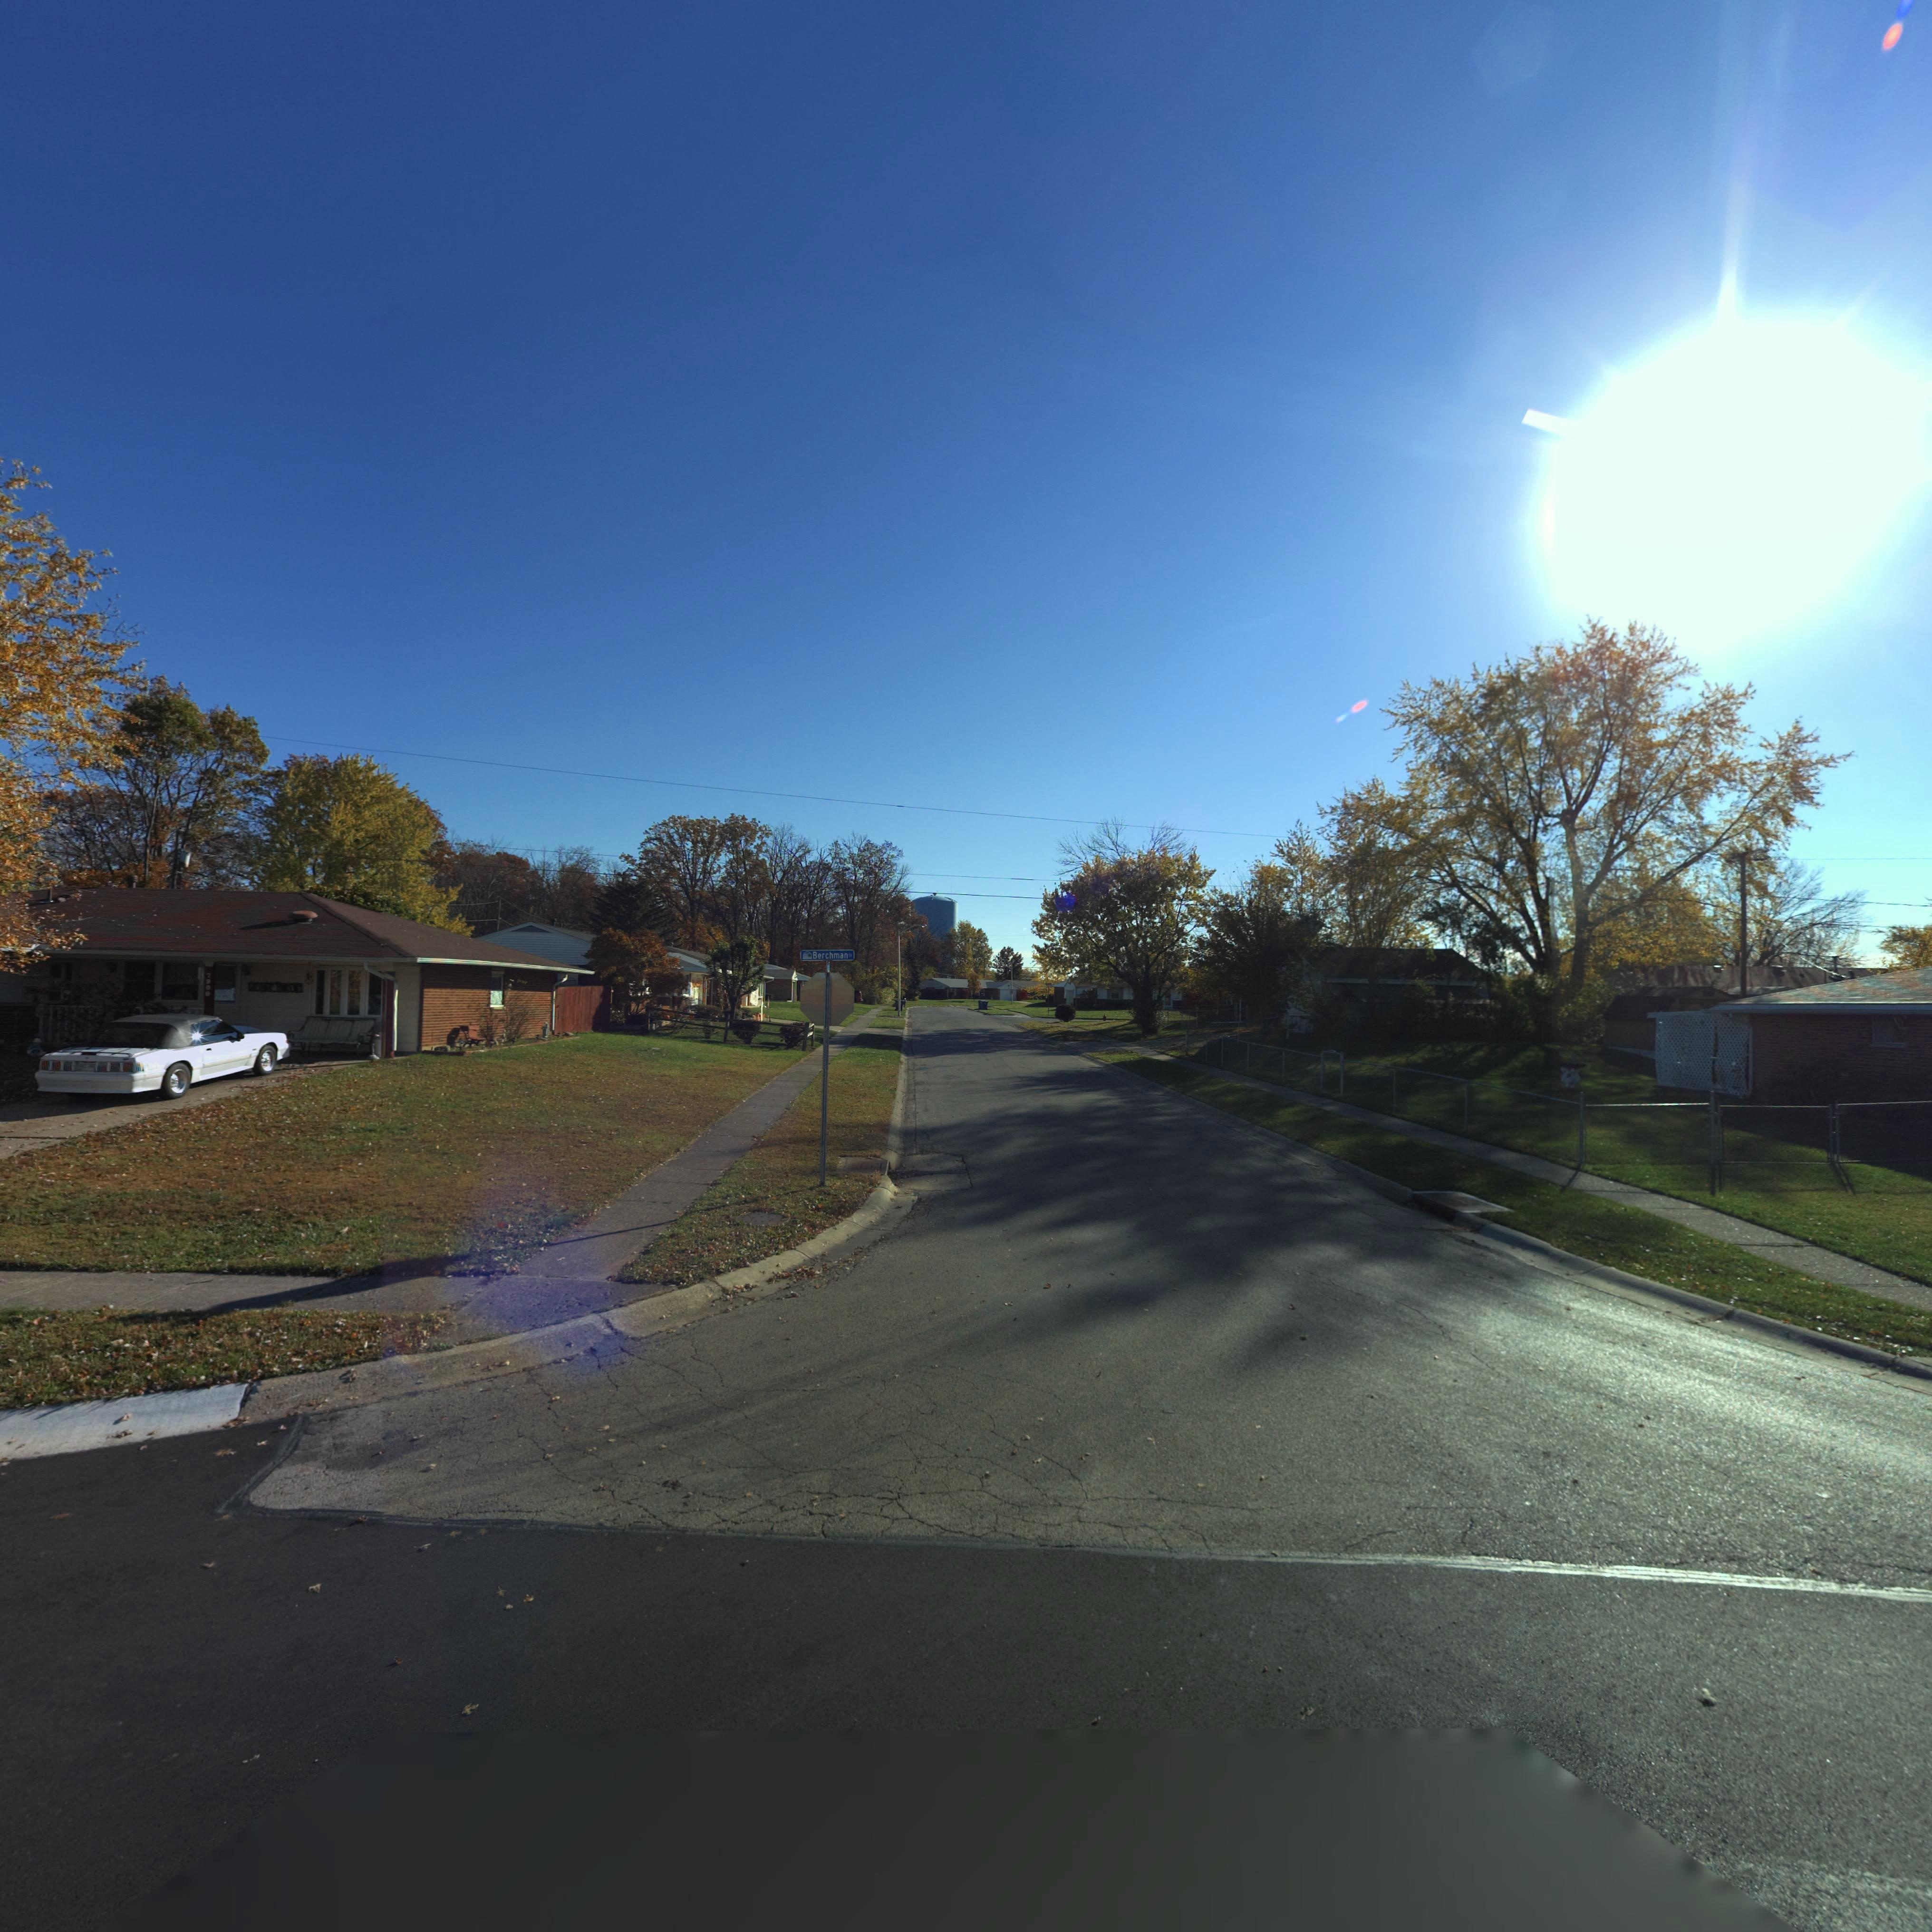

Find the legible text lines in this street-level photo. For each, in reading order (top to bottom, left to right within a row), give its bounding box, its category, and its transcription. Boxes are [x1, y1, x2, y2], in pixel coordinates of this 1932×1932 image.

[204, 972, 213, 998] StreetNumber: 7900